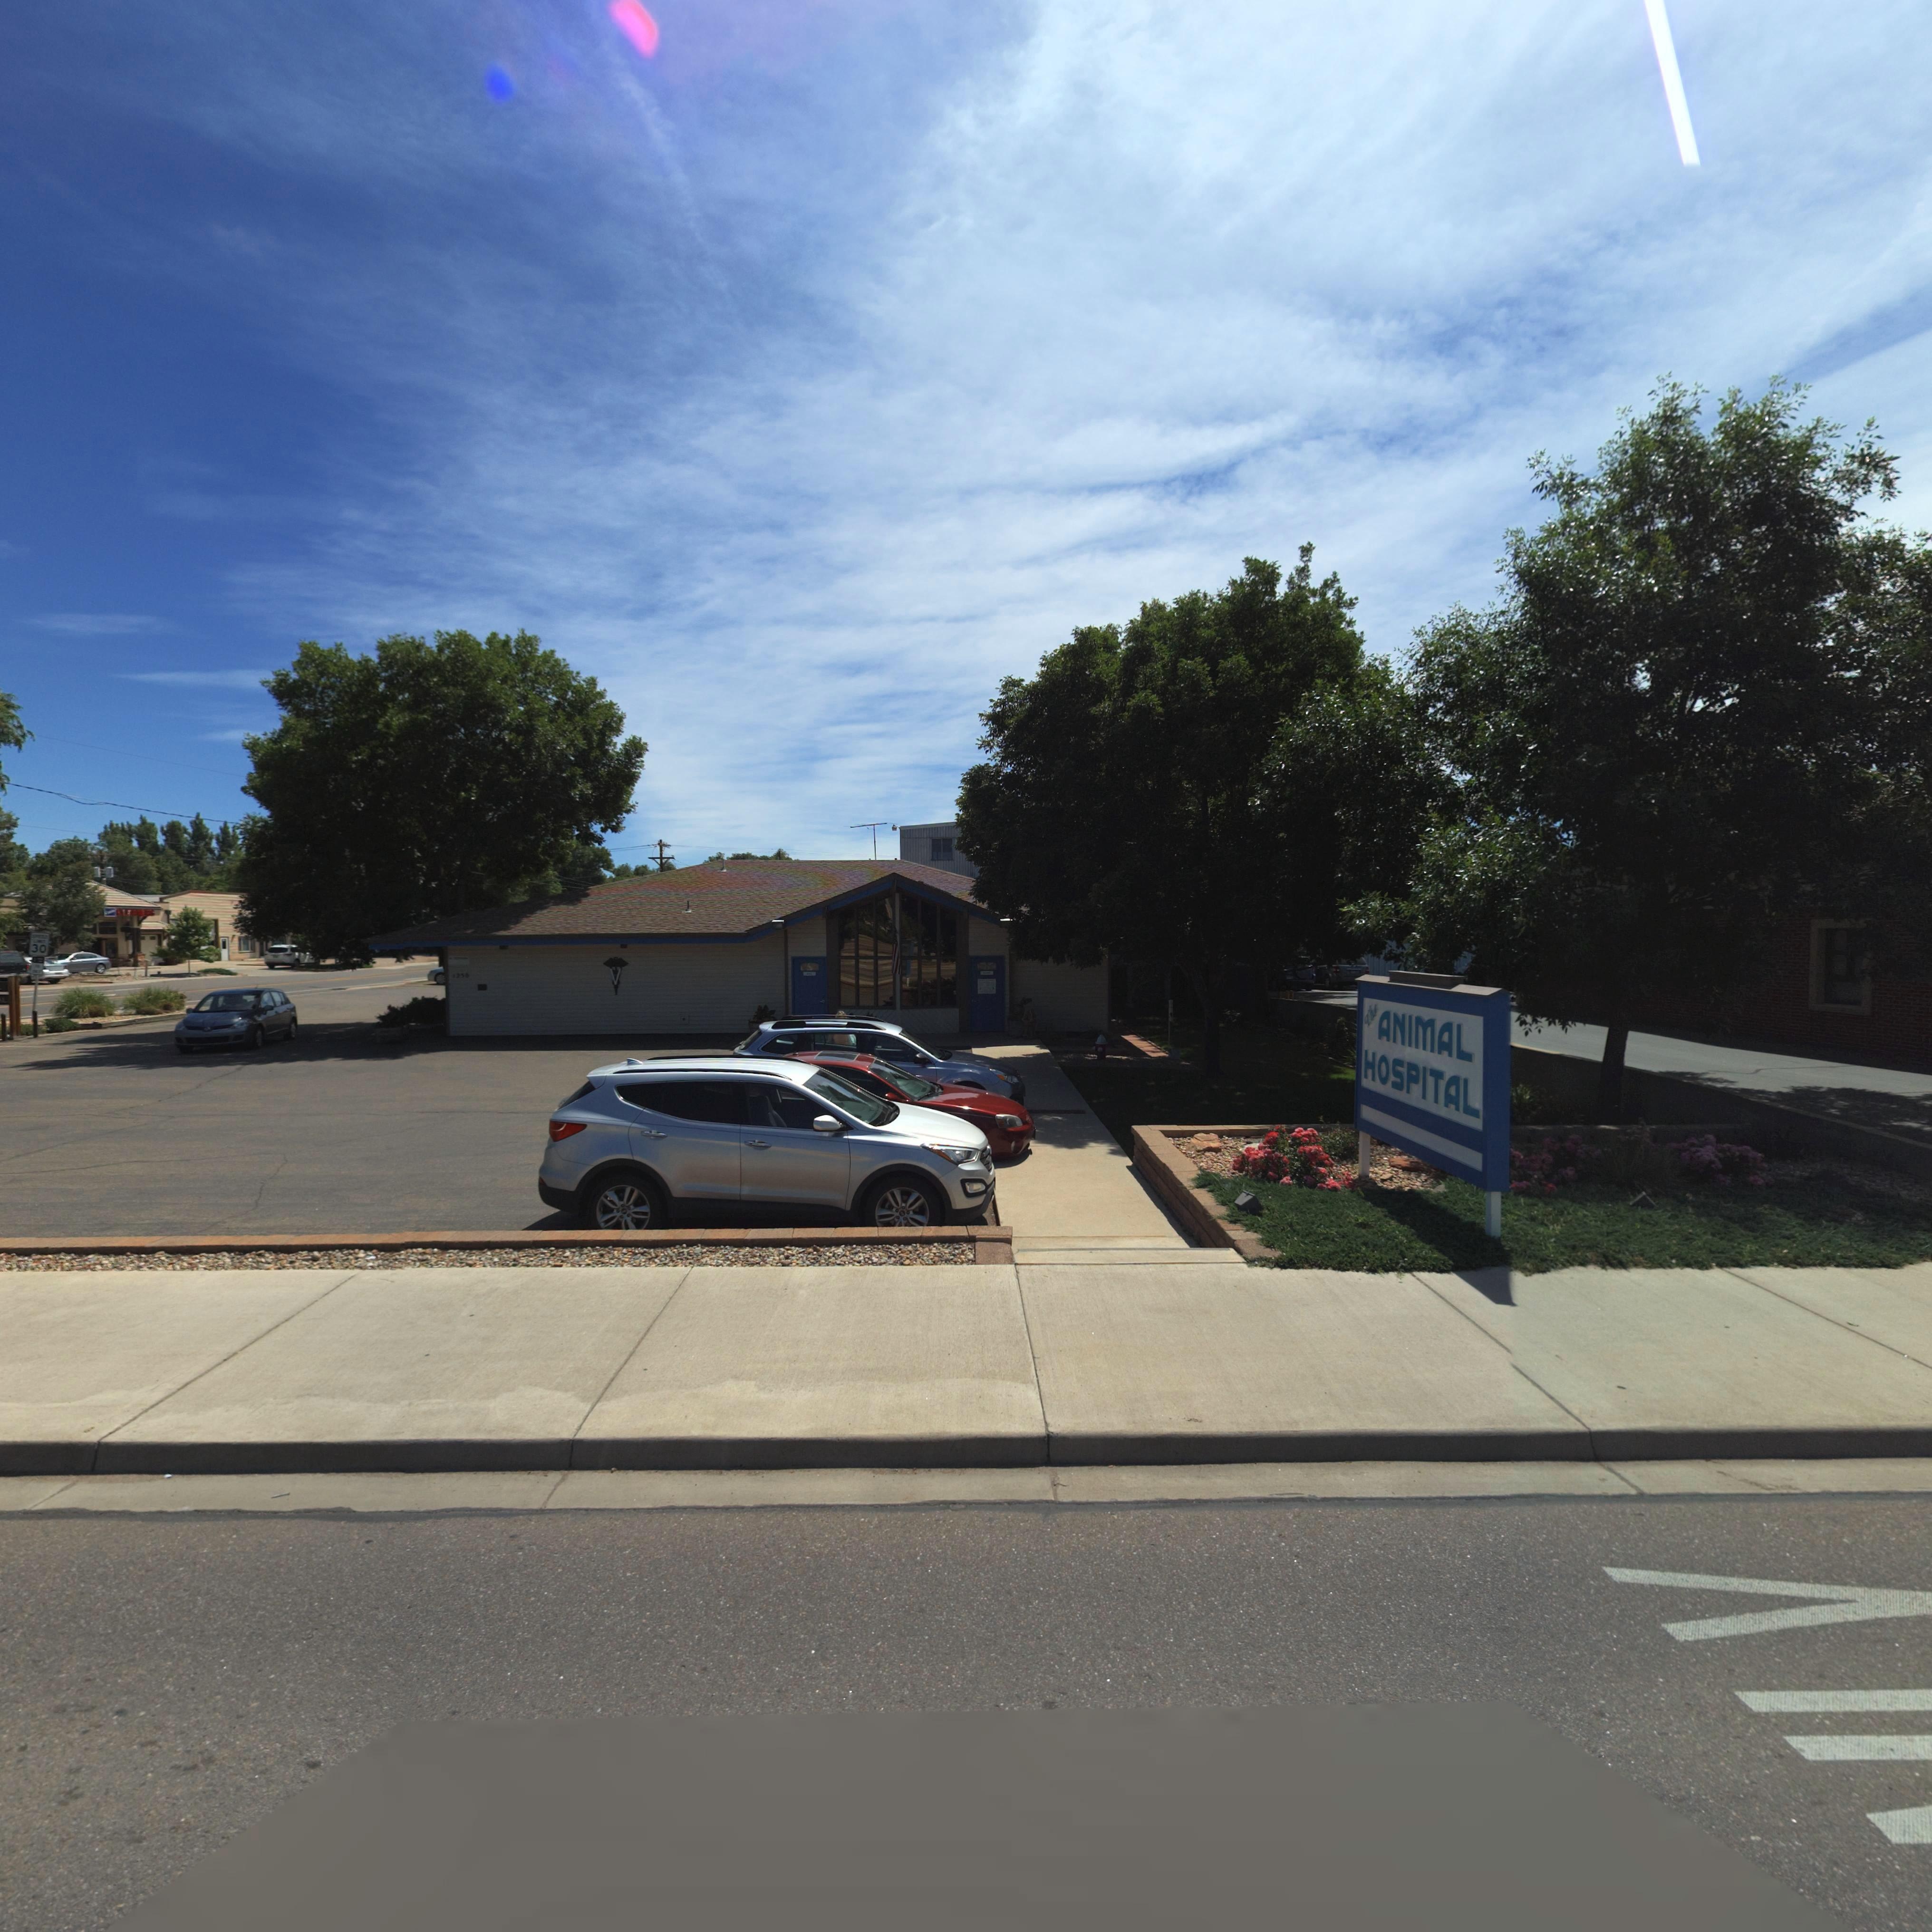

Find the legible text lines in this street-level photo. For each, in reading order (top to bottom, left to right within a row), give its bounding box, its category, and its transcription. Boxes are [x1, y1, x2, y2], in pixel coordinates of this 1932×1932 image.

[453, 973, 469, 978] StreetNumber: 125*
[1364, 1002, 1379, 1026] BusinessName: Th*
[1377, 1010, 1473, 1063] BusinessName: ANIMAL
[1363, 1049, 1480, 1120] BusinessName: HOSPITAL